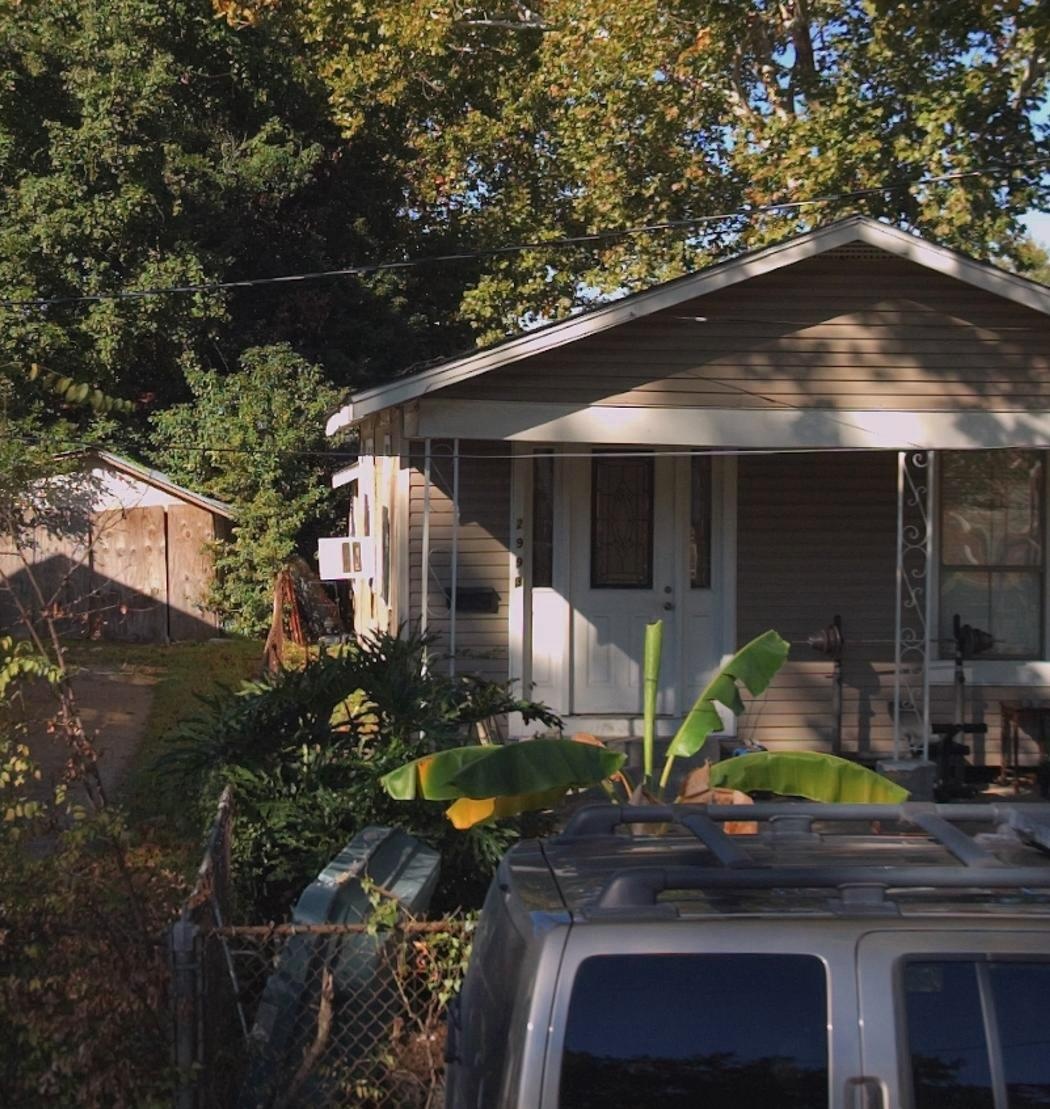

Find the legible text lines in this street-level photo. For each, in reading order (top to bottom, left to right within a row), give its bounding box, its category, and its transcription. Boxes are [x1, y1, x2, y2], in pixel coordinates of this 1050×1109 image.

[513, 516, 525, 590] StreetNumber: 2993